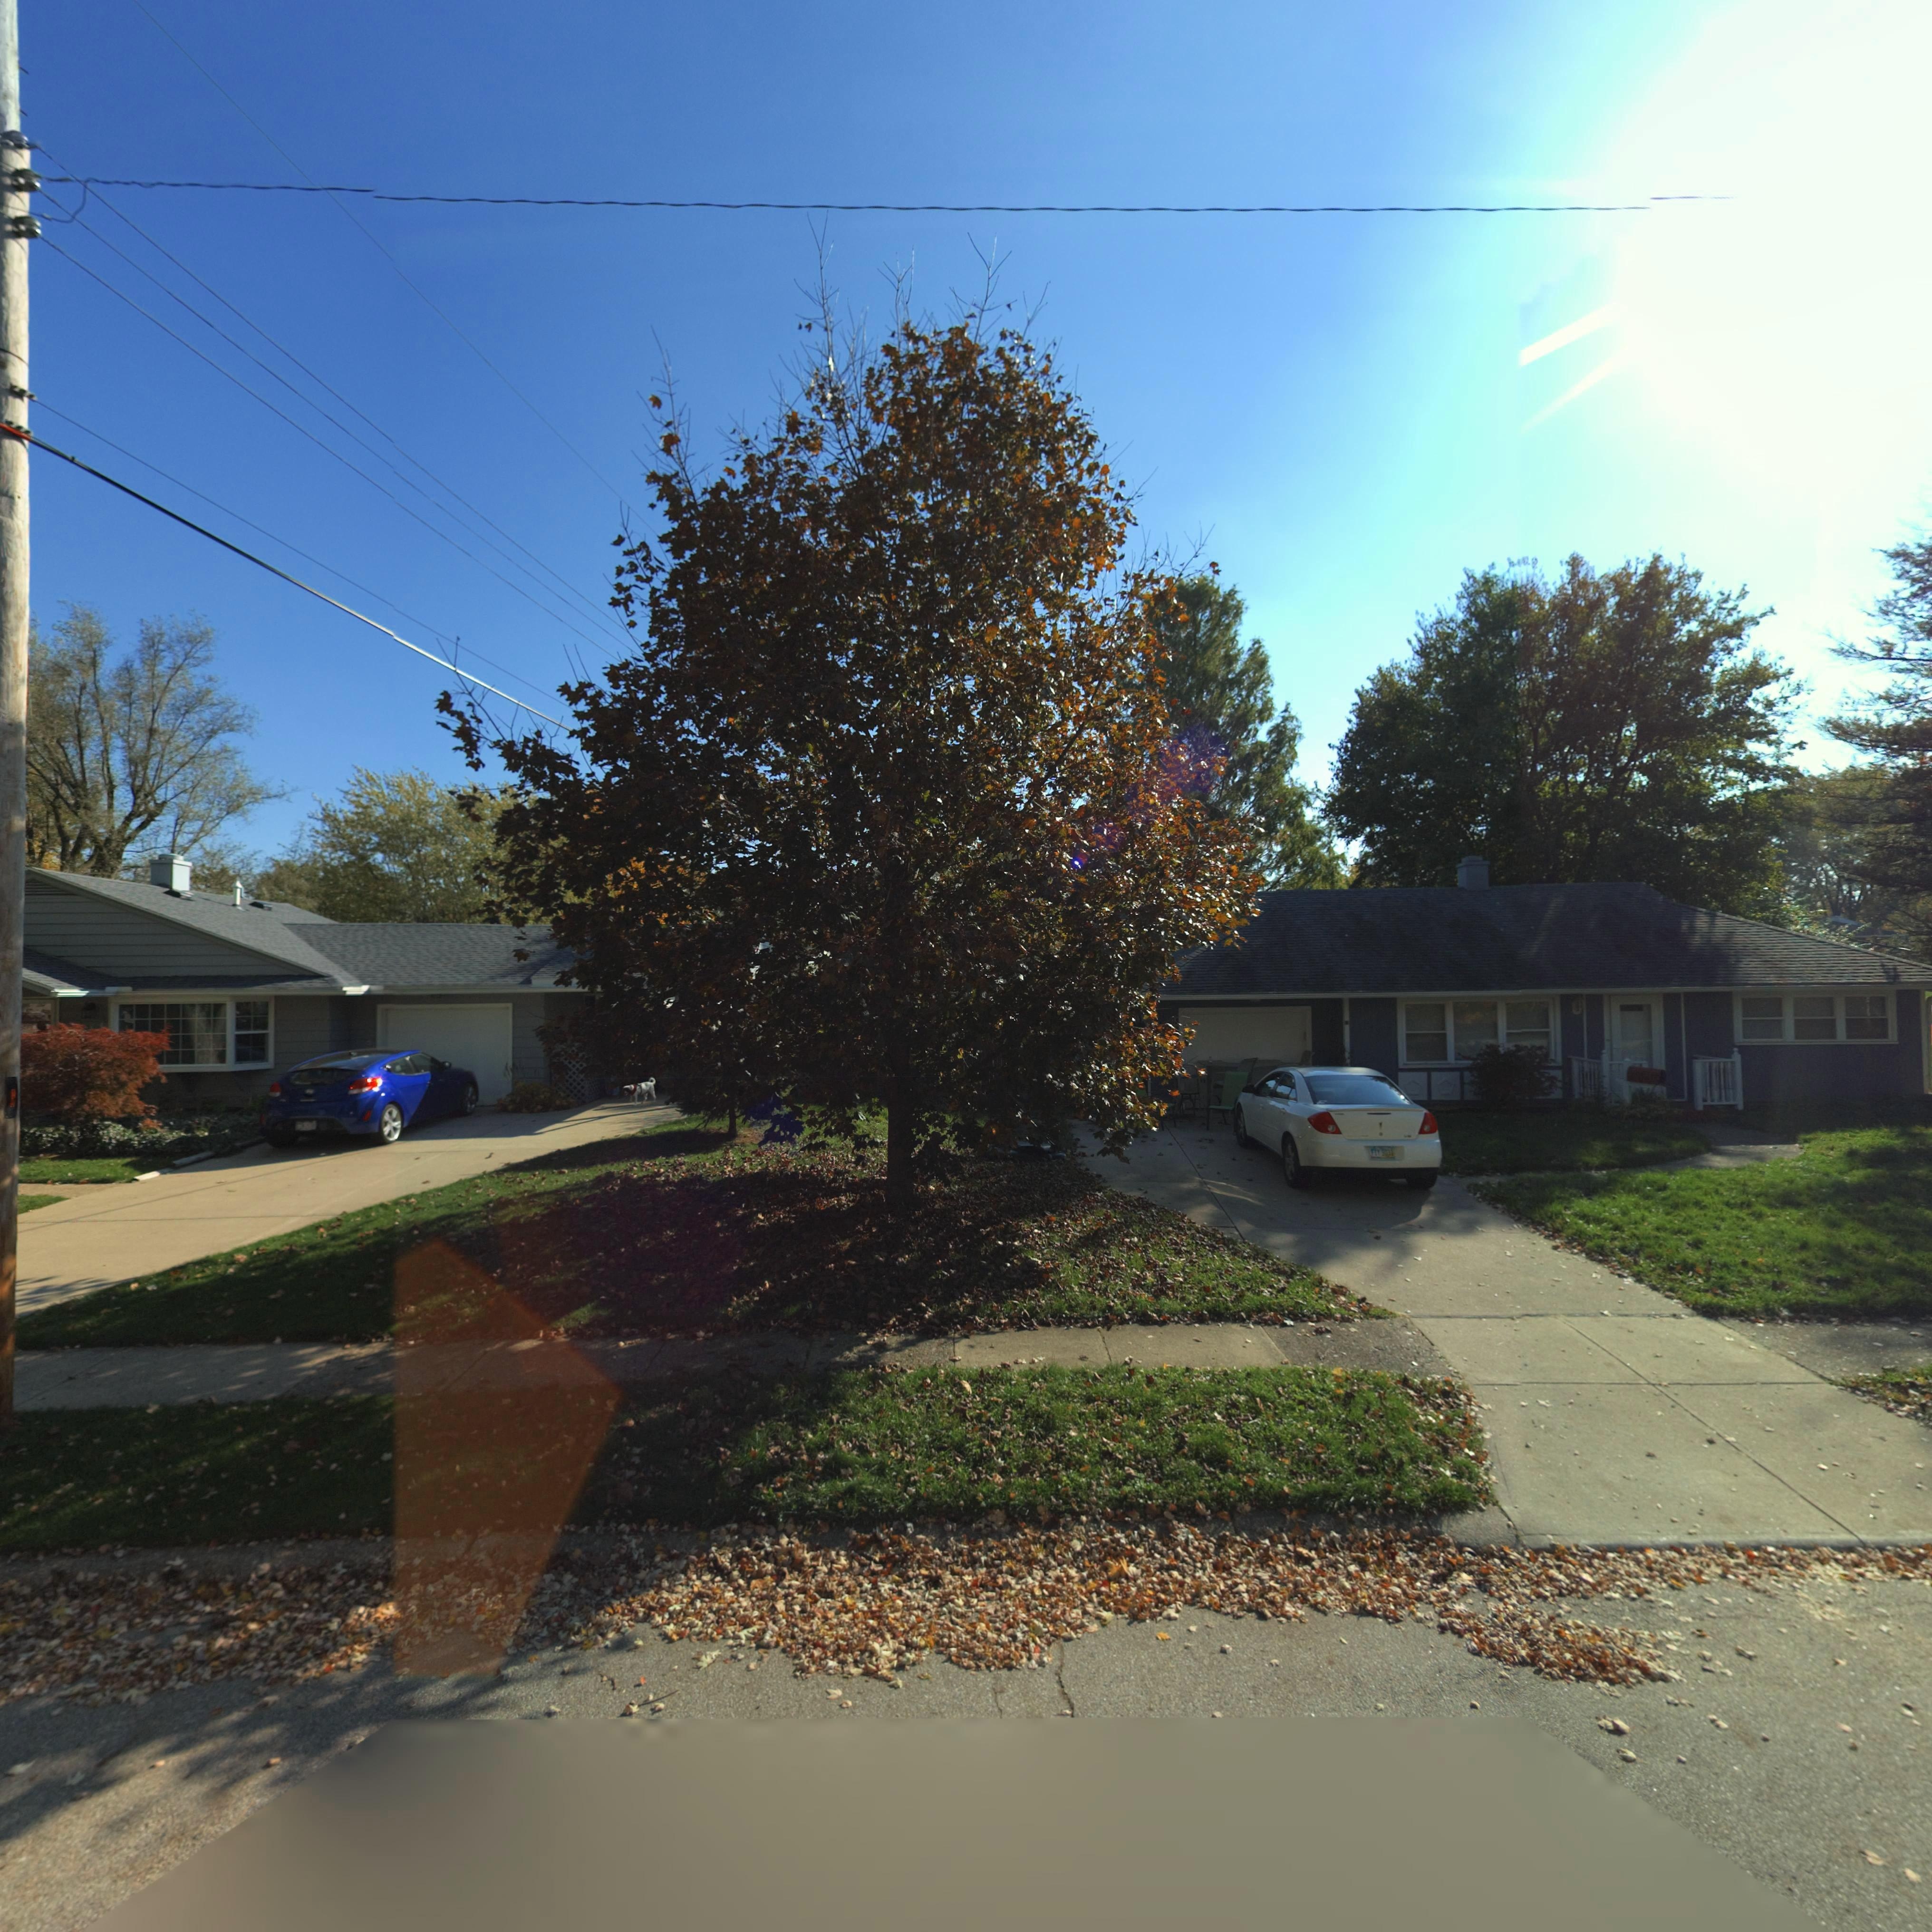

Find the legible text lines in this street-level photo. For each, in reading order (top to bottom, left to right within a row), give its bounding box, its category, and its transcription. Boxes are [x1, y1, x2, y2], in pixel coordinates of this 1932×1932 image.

[1371, 1149, 1393, 1156] None: FIY 9031